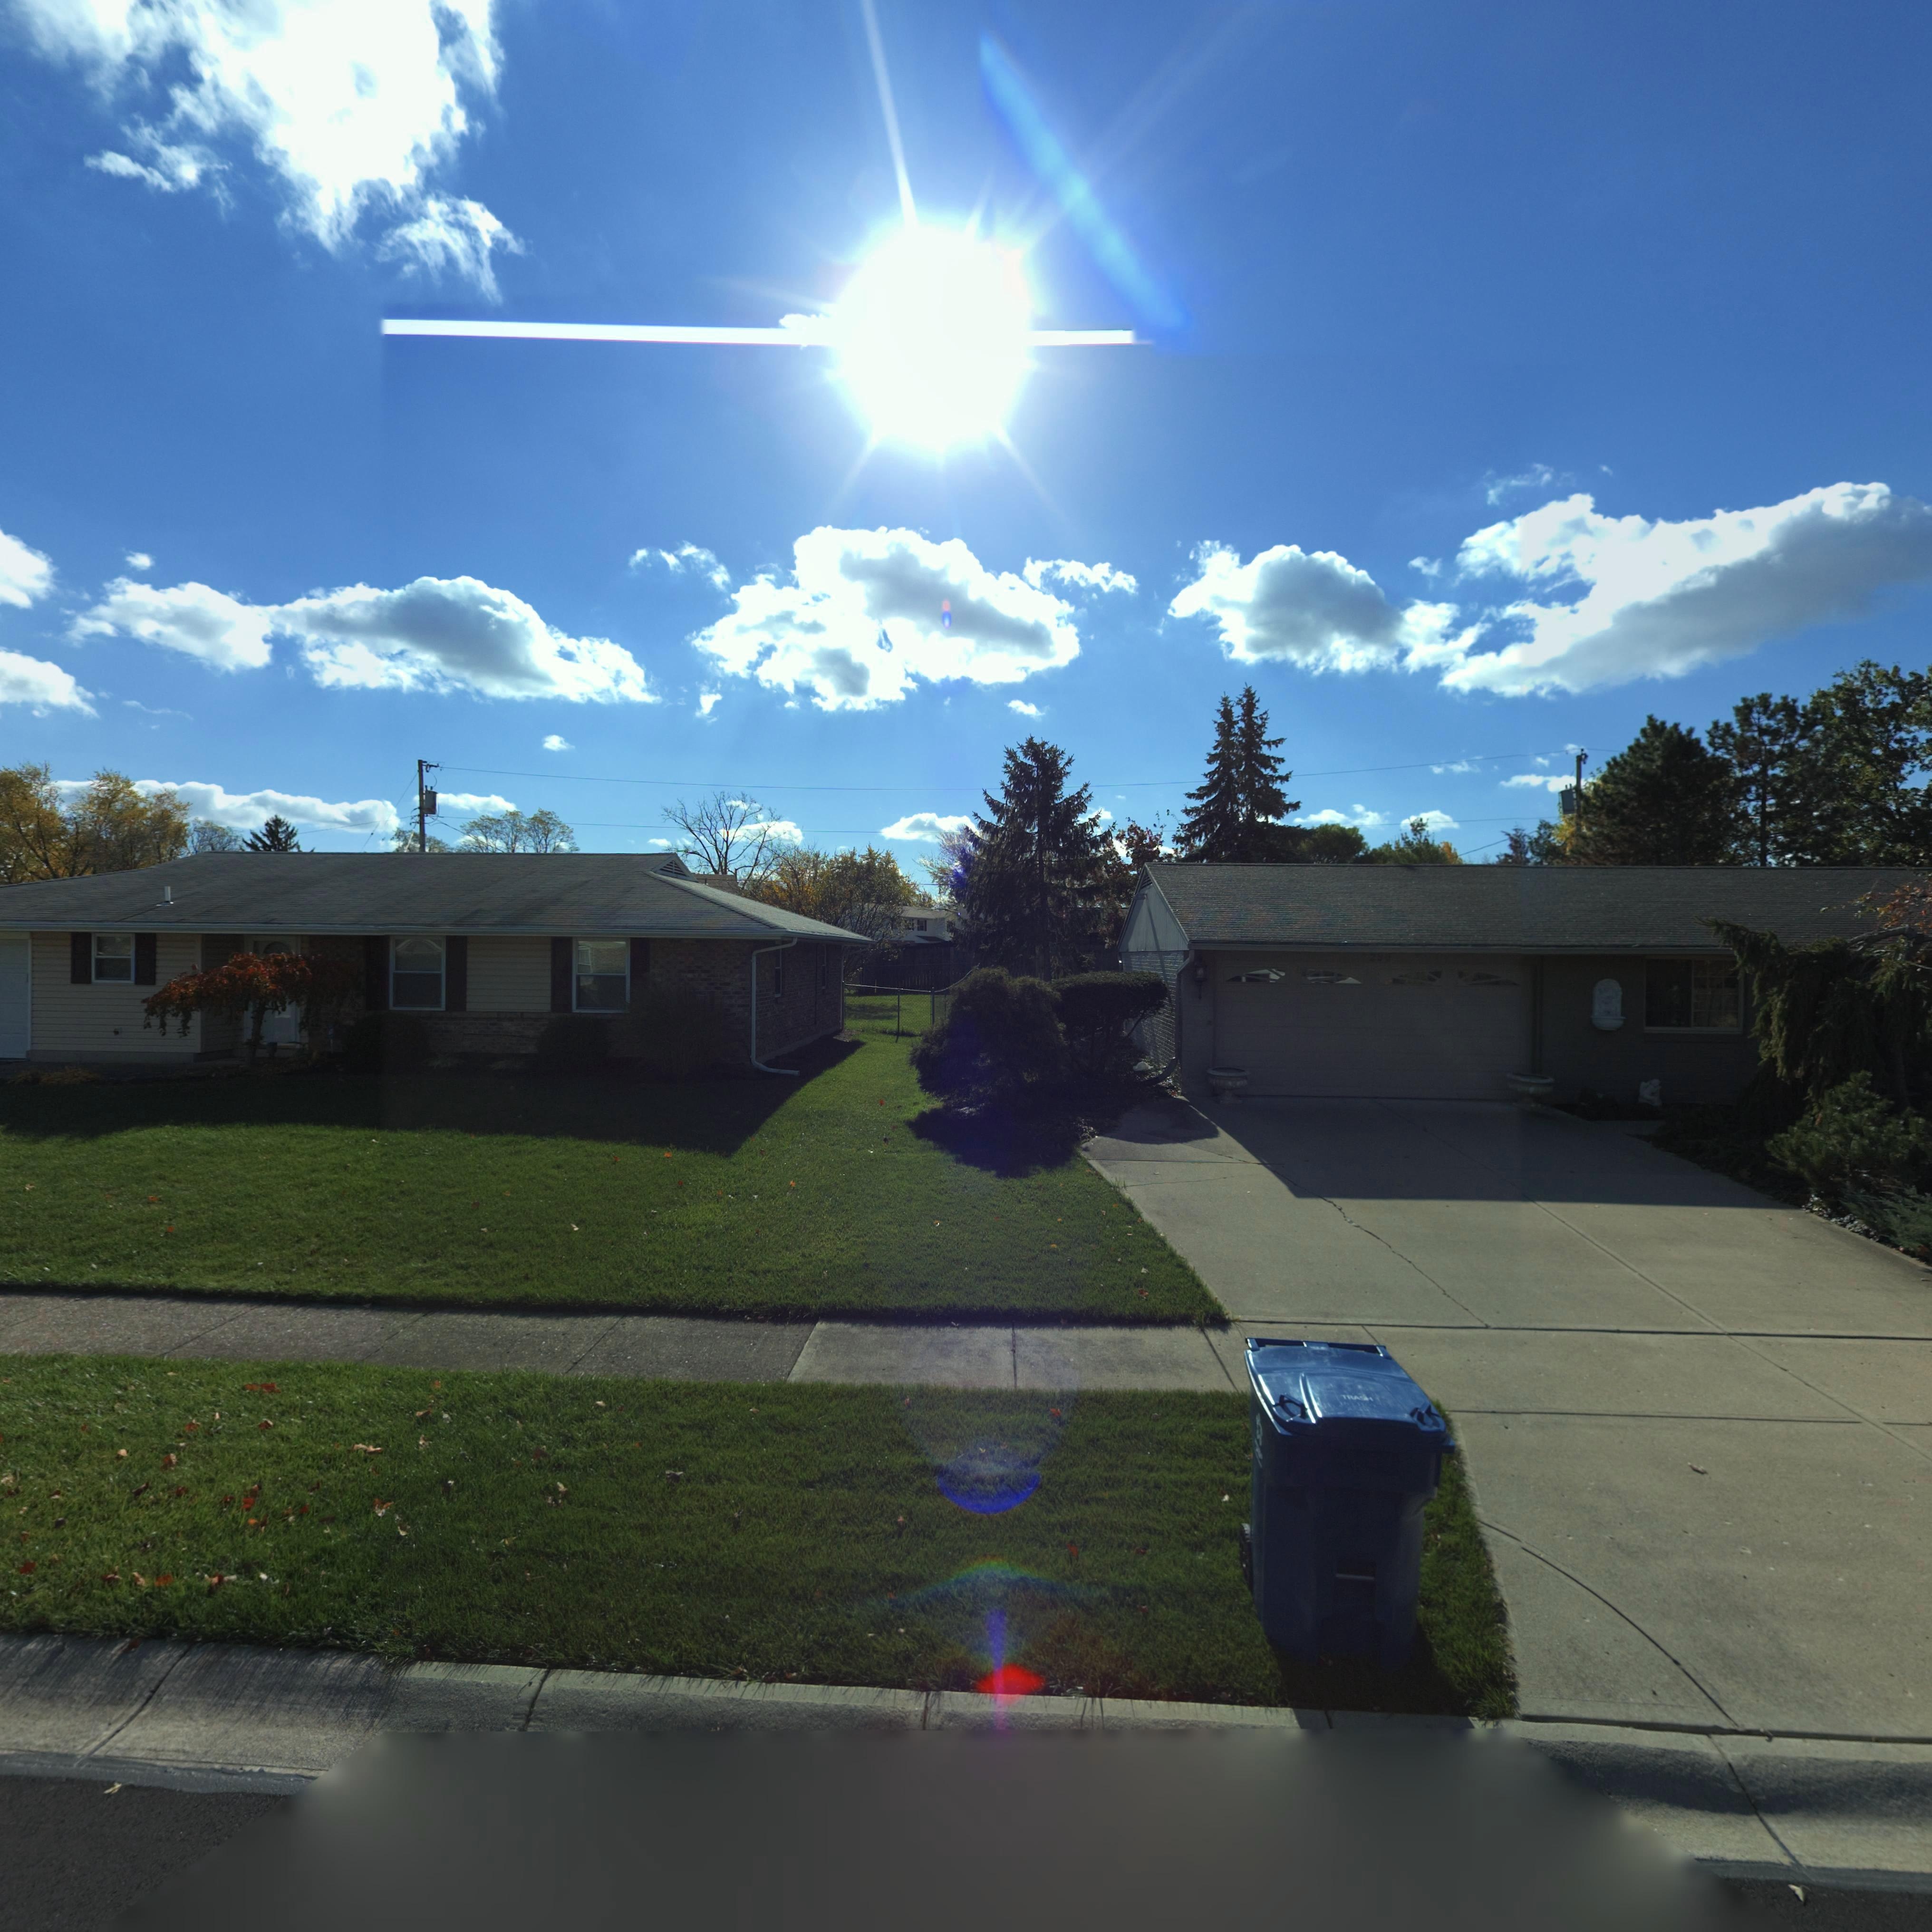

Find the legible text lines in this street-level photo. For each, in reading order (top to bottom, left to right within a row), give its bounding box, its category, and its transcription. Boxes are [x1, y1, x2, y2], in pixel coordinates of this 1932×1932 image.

[1369, 952, 1392, 963] StreetNumber: 250